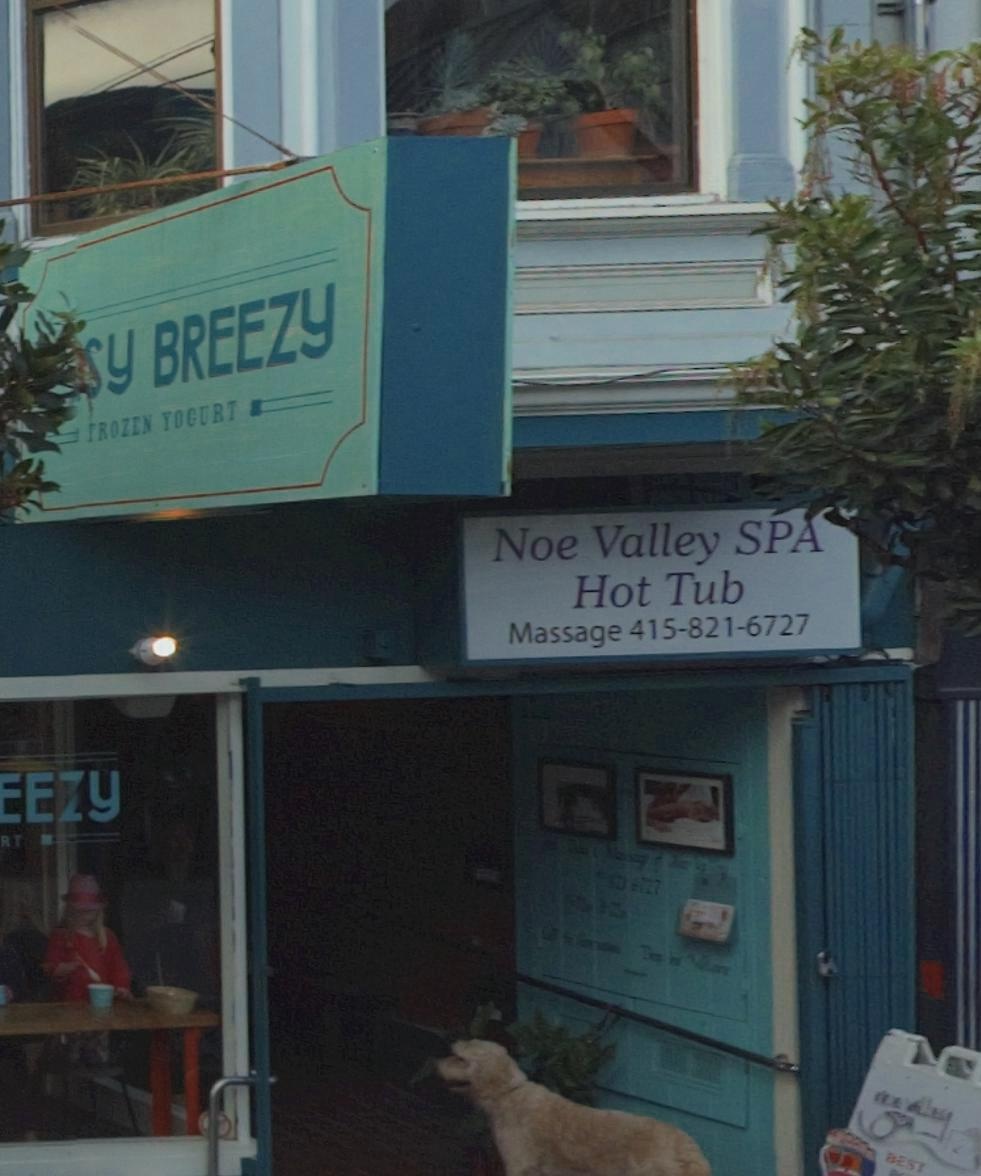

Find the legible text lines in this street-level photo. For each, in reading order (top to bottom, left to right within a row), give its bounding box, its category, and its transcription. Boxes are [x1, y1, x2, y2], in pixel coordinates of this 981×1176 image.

[104, 278, 338, 398] BusinessName: Y BREEZY
[86, 398, 242, 447] None: FROZEN YOGURT
[491, 517, 827, 565] BusinessName: Noe Valley SPA
[571, 568, 744, 611] None: Hot Tub
[508, 611, 812, 649] None: Massage 415-821-6727
[24, 768, 123, 826] BusinessName: EZY
[642, 874, 671, 901] None: 27
[882, 1149, 929, 1176] None: BEST